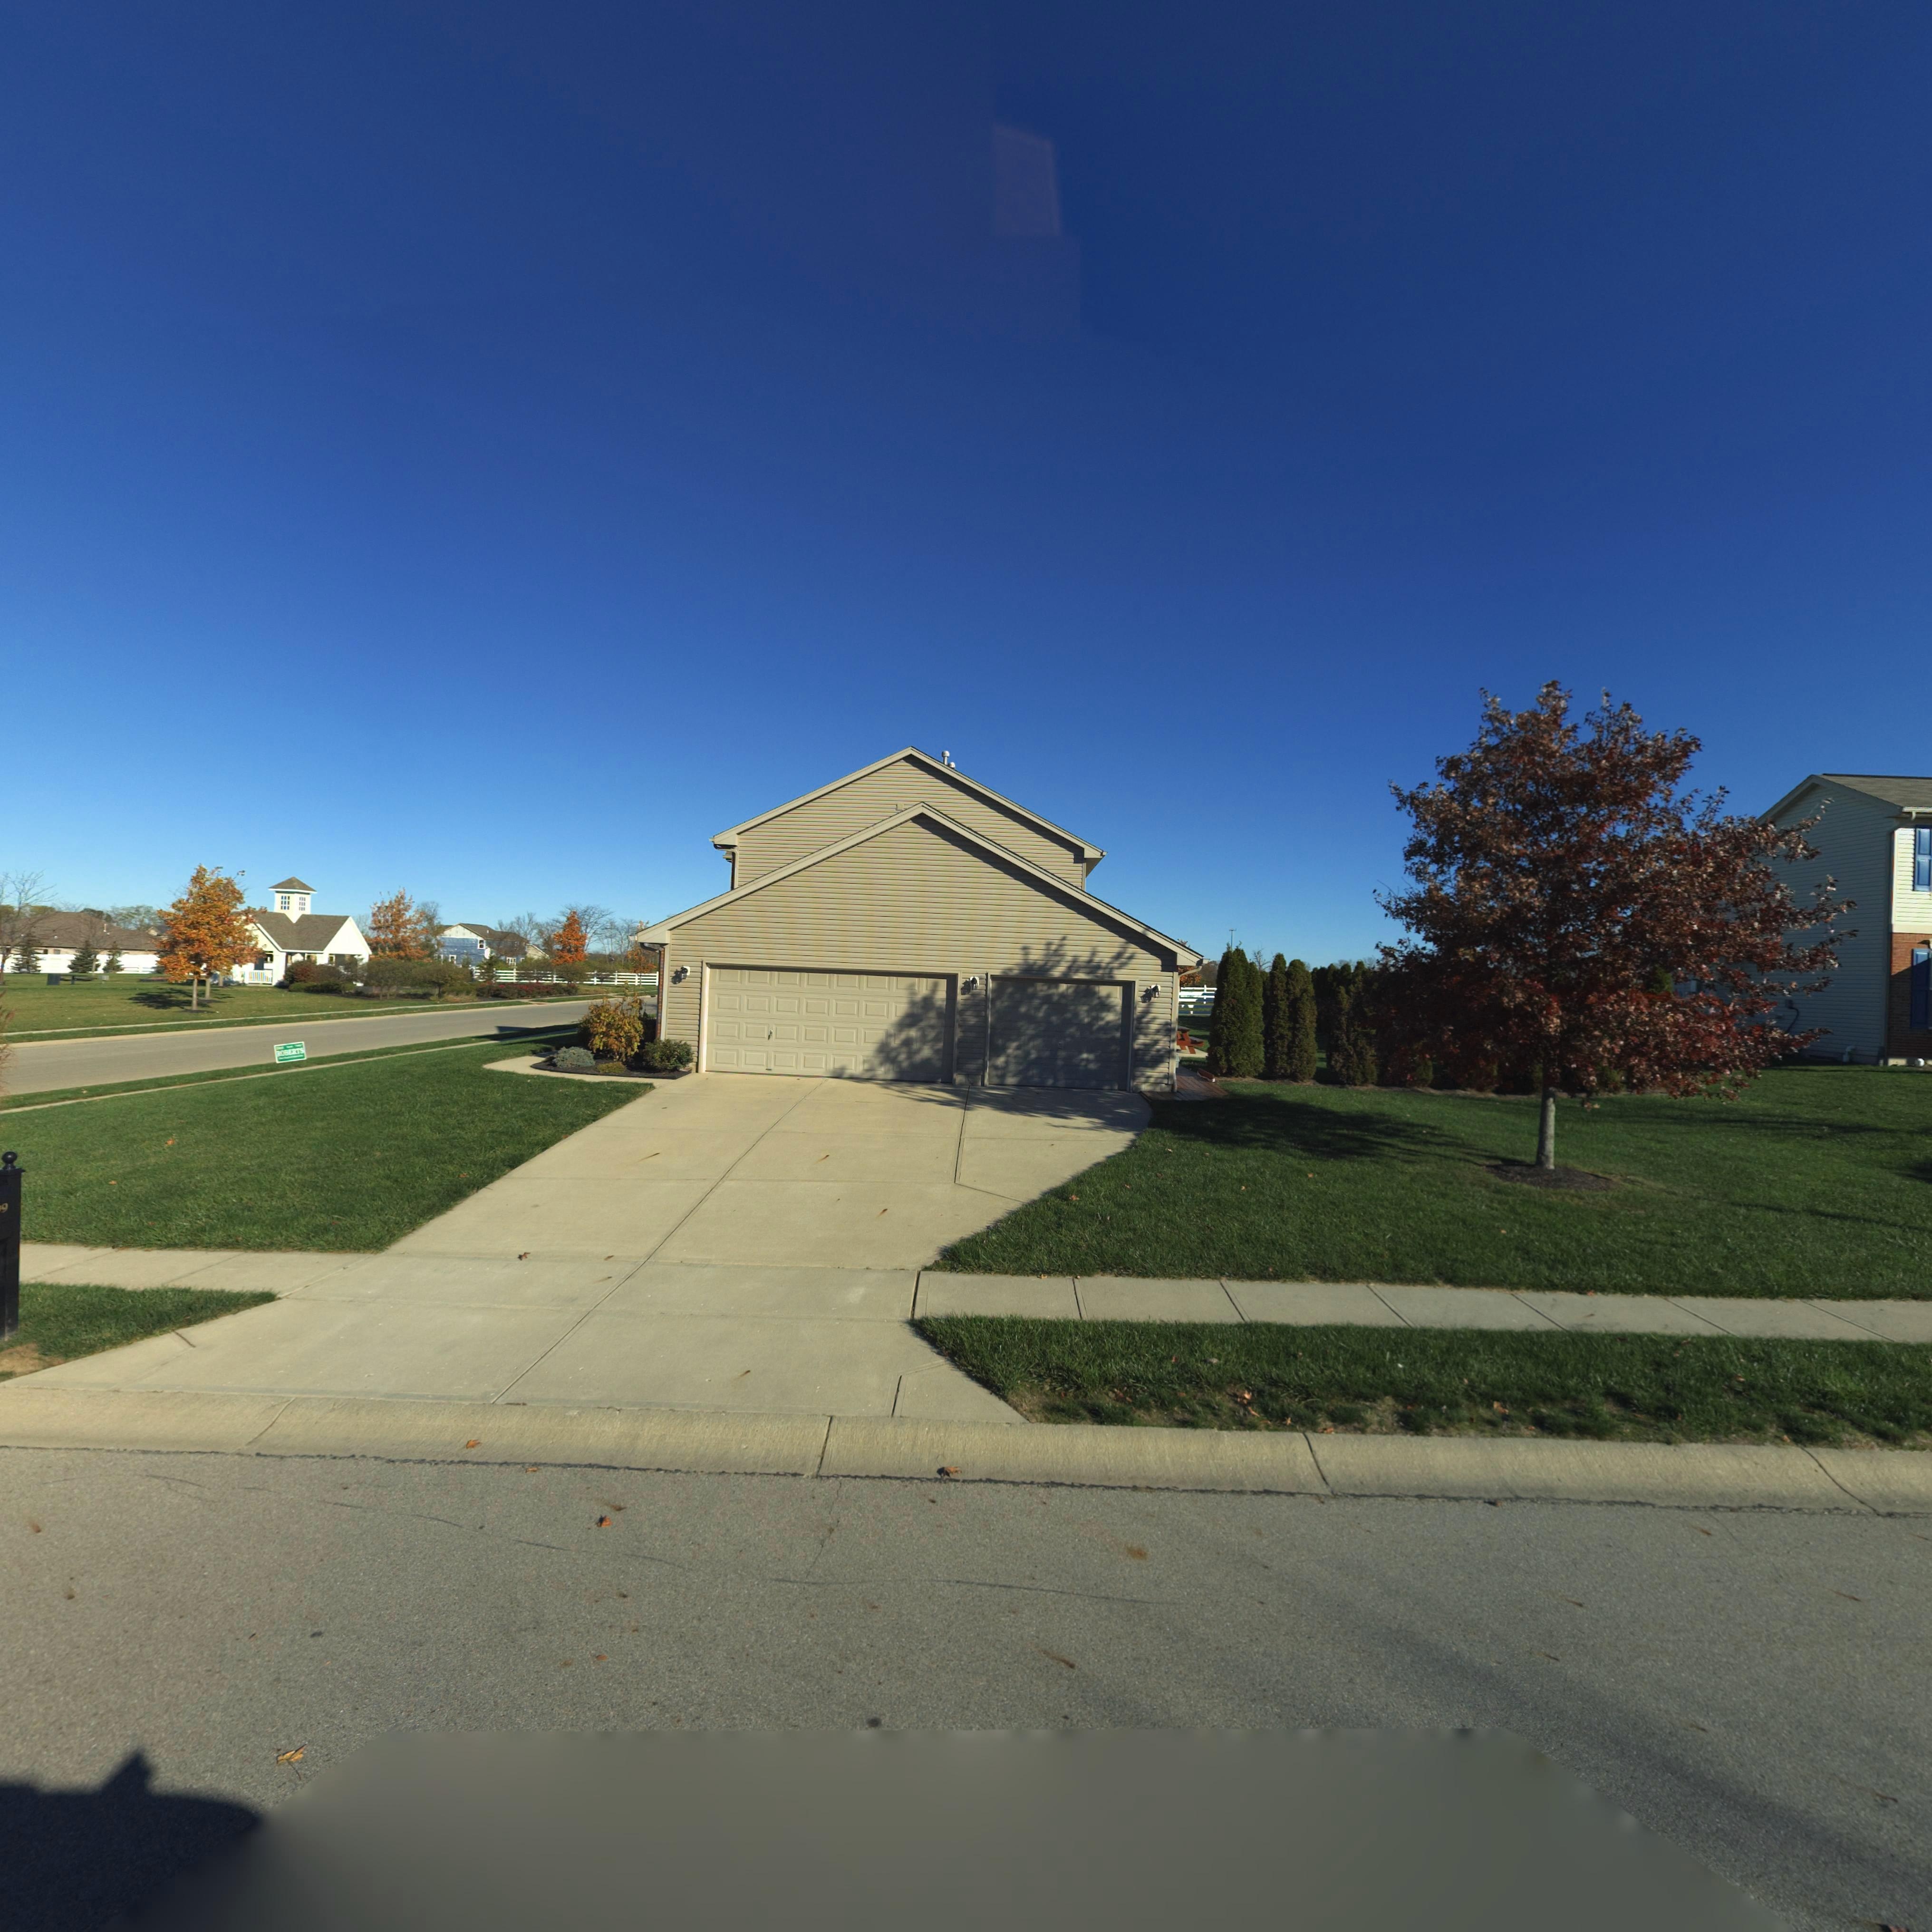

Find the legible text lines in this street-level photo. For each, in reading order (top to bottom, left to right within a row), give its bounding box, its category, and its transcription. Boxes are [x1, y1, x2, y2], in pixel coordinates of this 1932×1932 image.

[276, 1047, 304, 1057] None: ***RTS
[0, 1201, 10, 1214] StreetNumber: 9